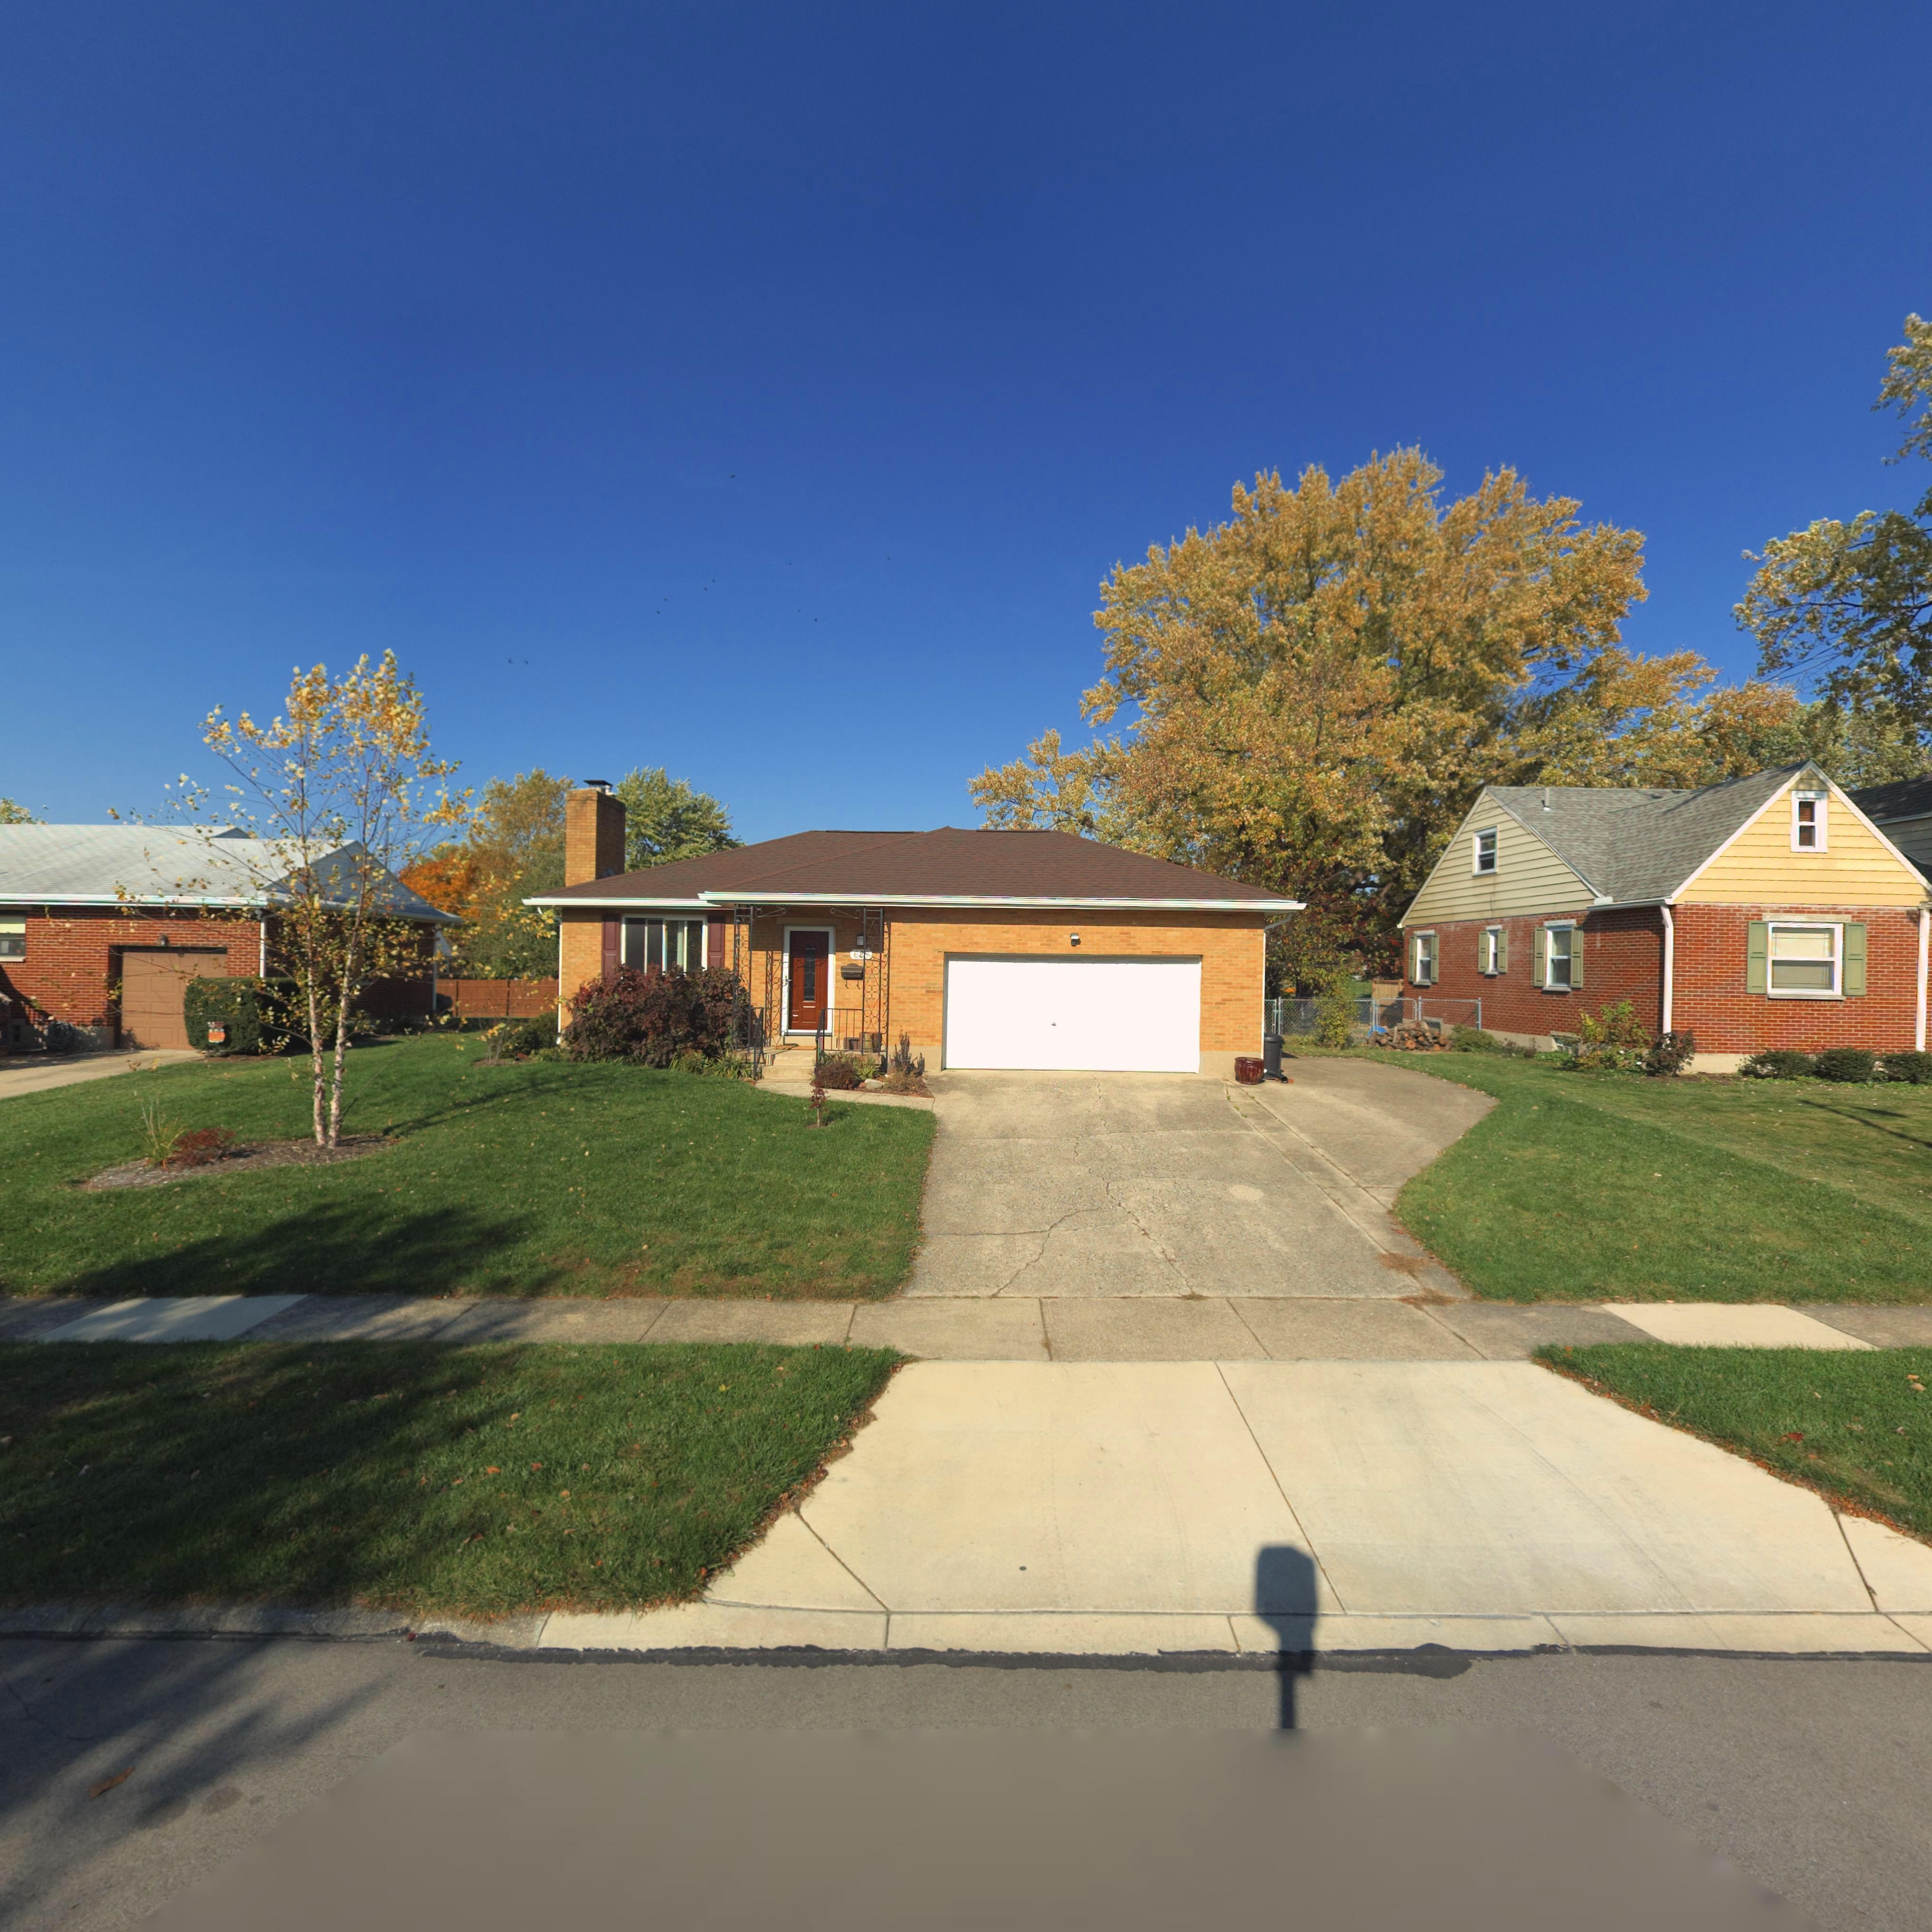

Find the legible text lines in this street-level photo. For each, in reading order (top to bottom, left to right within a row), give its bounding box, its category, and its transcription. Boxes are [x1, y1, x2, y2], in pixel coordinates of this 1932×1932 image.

[853, 950, 869, 959] StreetNumber: 62*